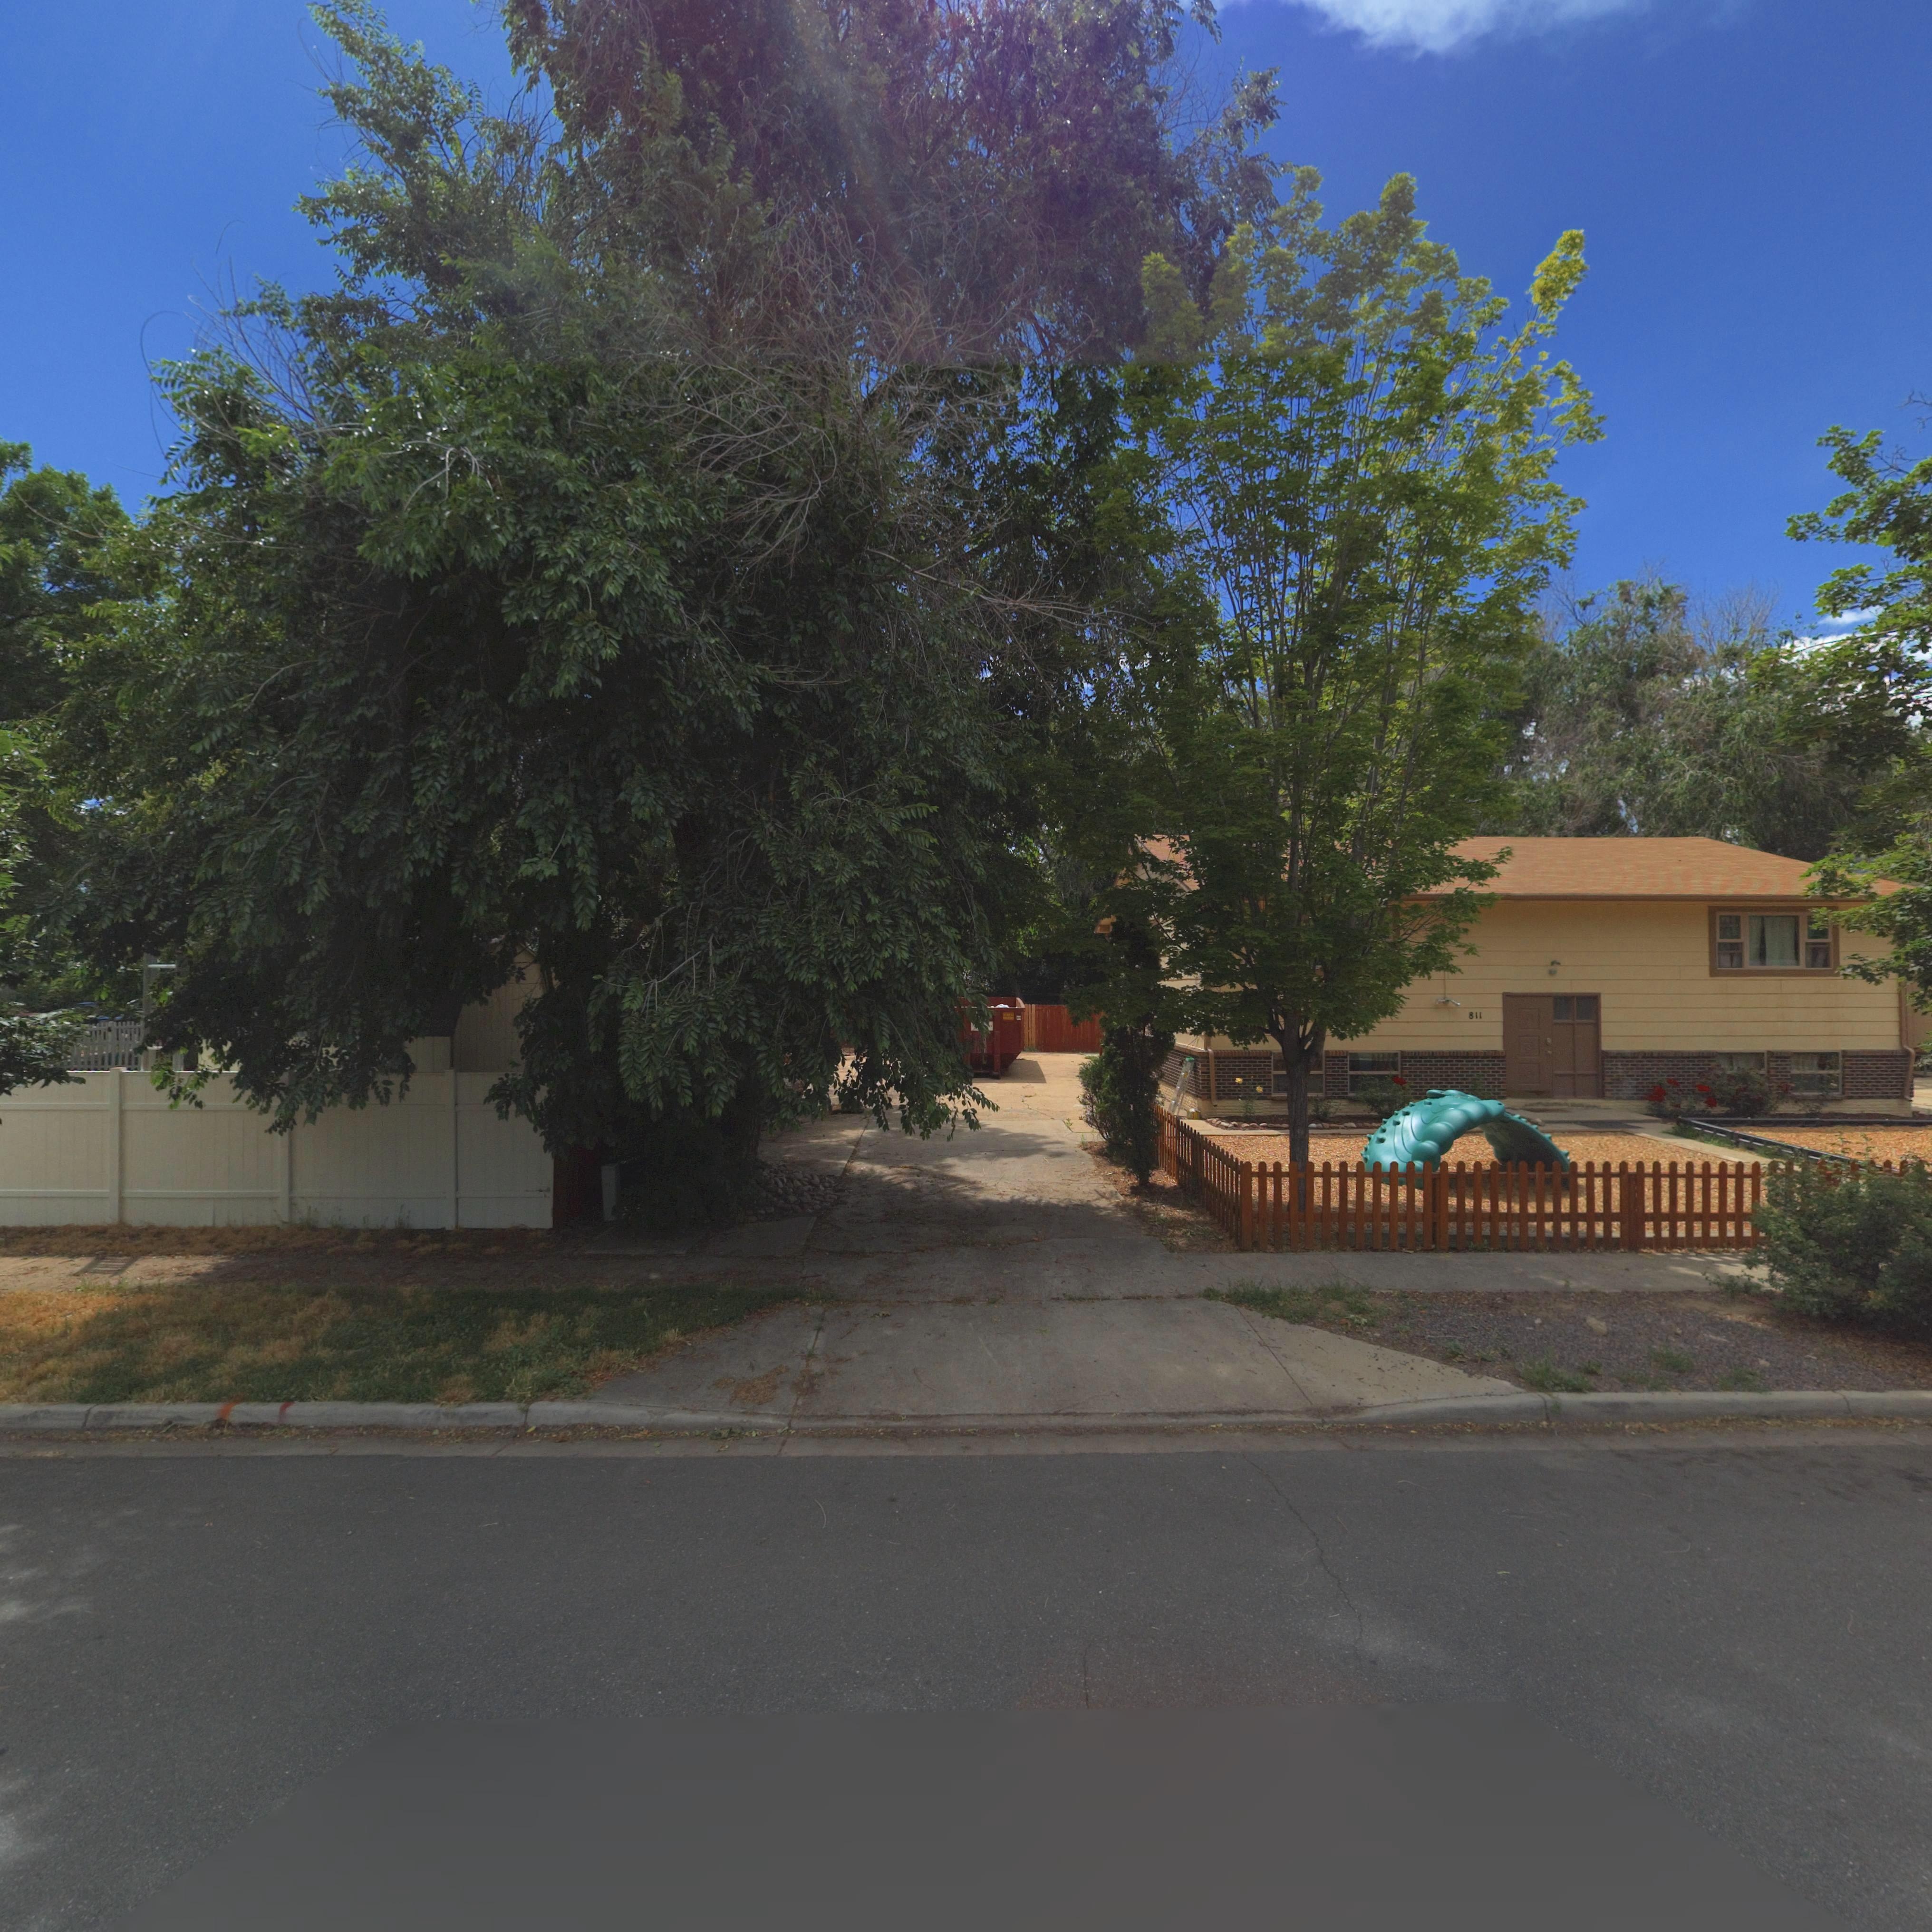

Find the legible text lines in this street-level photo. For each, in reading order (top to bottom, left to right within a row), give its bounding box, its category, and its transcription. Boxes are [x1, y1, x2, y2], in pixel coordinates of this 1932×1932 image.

[1469, 1012, 1482, 1019] StreetNumber: 811